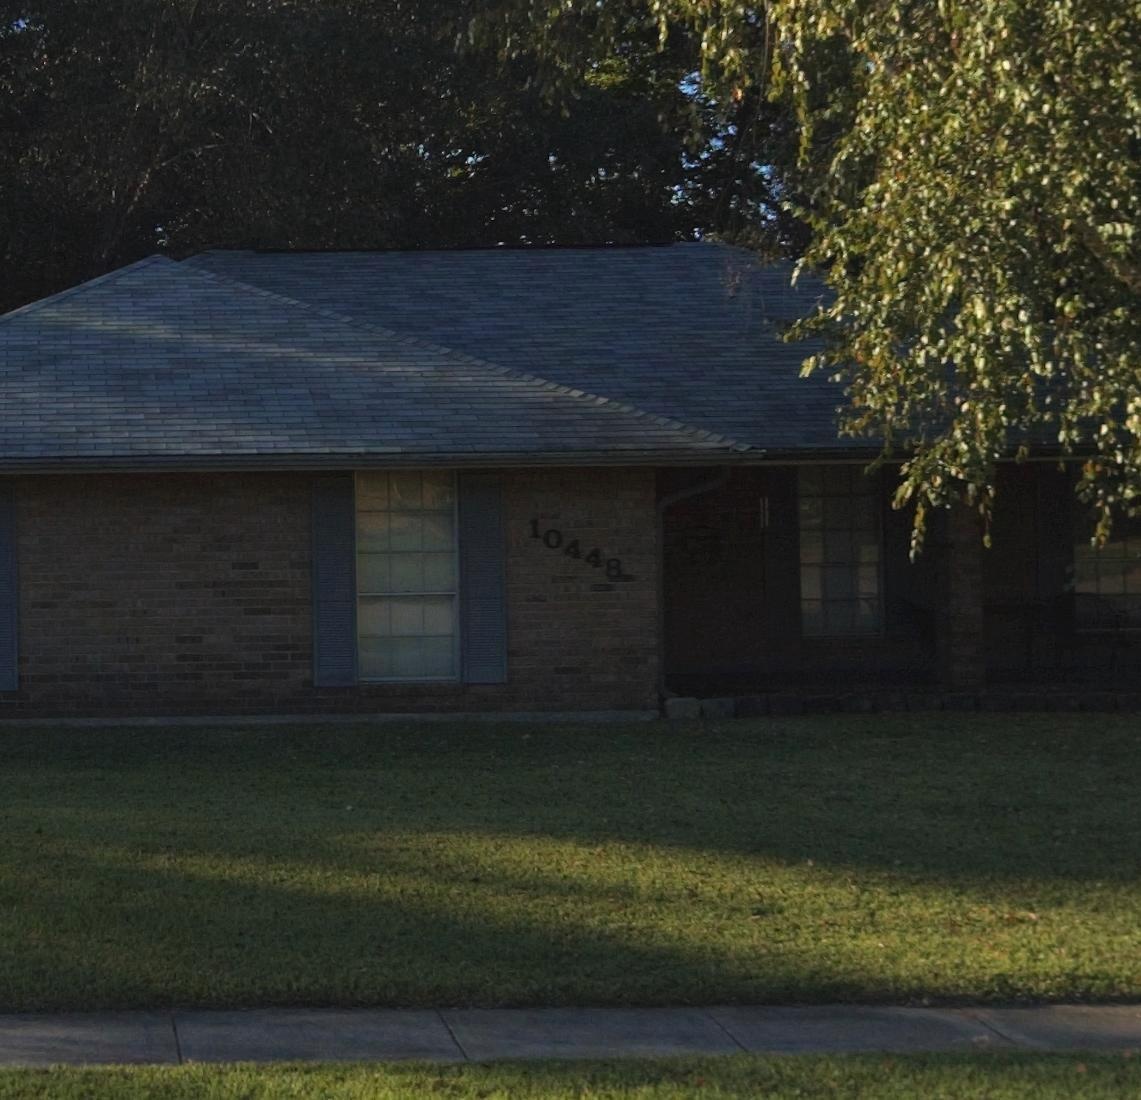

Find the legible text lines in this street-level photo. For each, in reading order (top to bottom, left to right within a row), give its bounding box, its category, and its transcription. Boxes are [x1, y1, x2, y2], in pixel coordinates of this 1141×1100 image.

[526, 516, 625, 581] StreetNumber: 10448